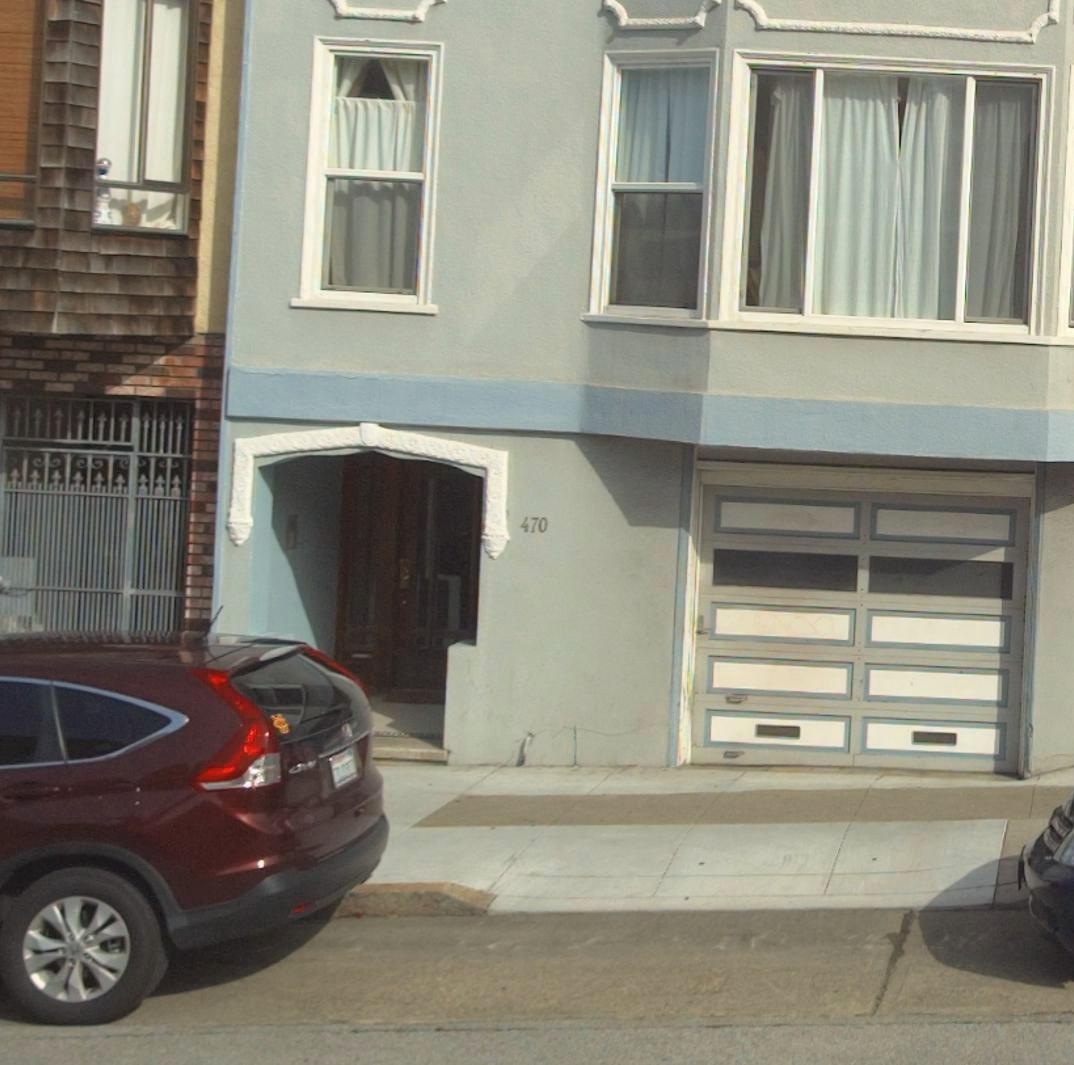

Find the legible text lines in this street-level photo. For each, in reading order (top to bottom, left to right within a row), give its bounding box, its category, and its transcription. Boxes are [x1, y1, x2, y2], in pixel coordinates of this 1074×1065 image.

[517, 515, 549, 534] StreetNumber: 470